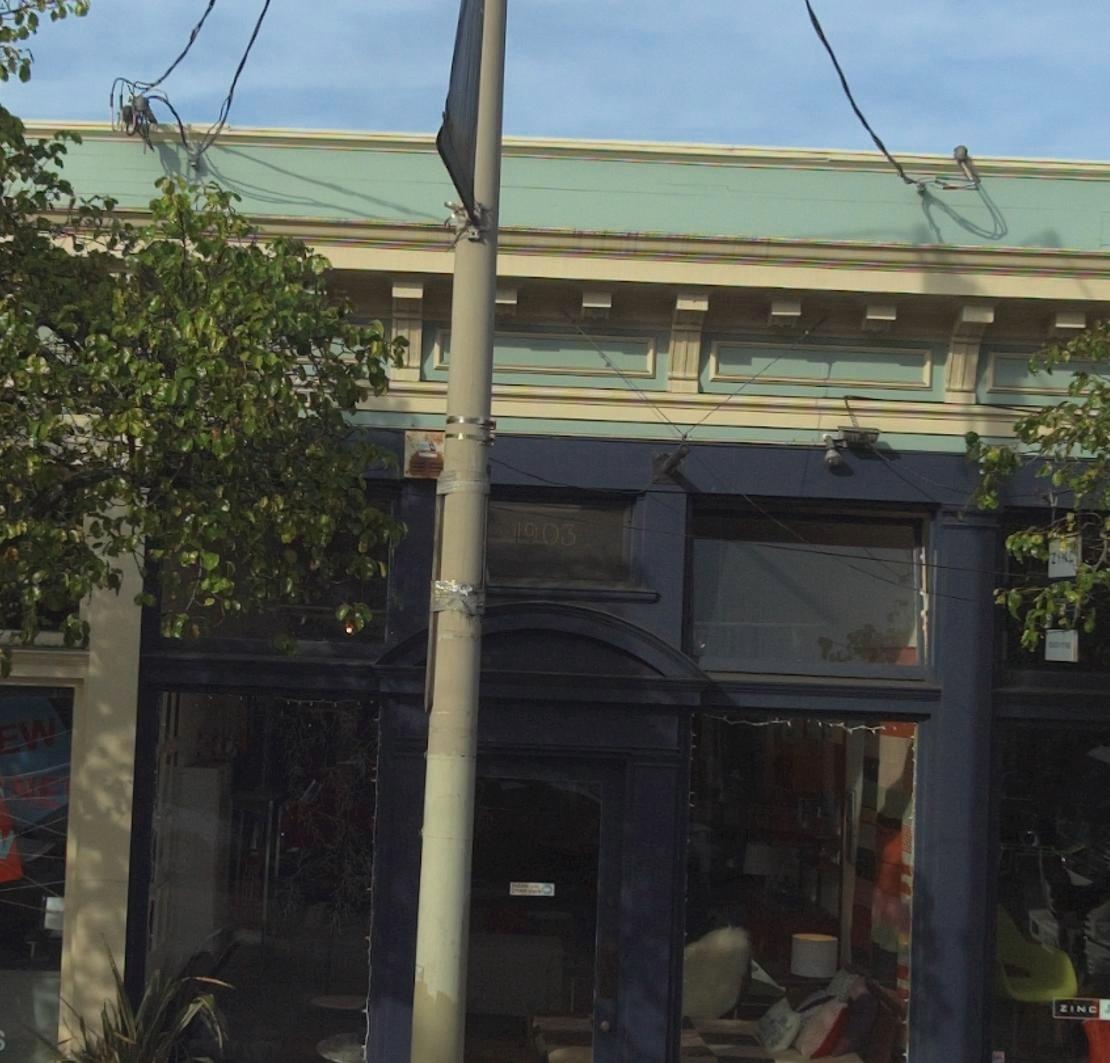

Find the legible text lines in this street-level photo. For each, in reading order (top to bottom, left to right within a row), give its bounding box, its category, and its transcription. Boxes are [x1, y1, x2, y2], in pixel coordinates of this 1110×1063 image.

[512, 518, 578, 549] StreetNumber: 1903
[1049, 547, 1076, 568] BusinessName: ZI*C
[1057, 1002, 1099, 1016] BusinessName: ZINC